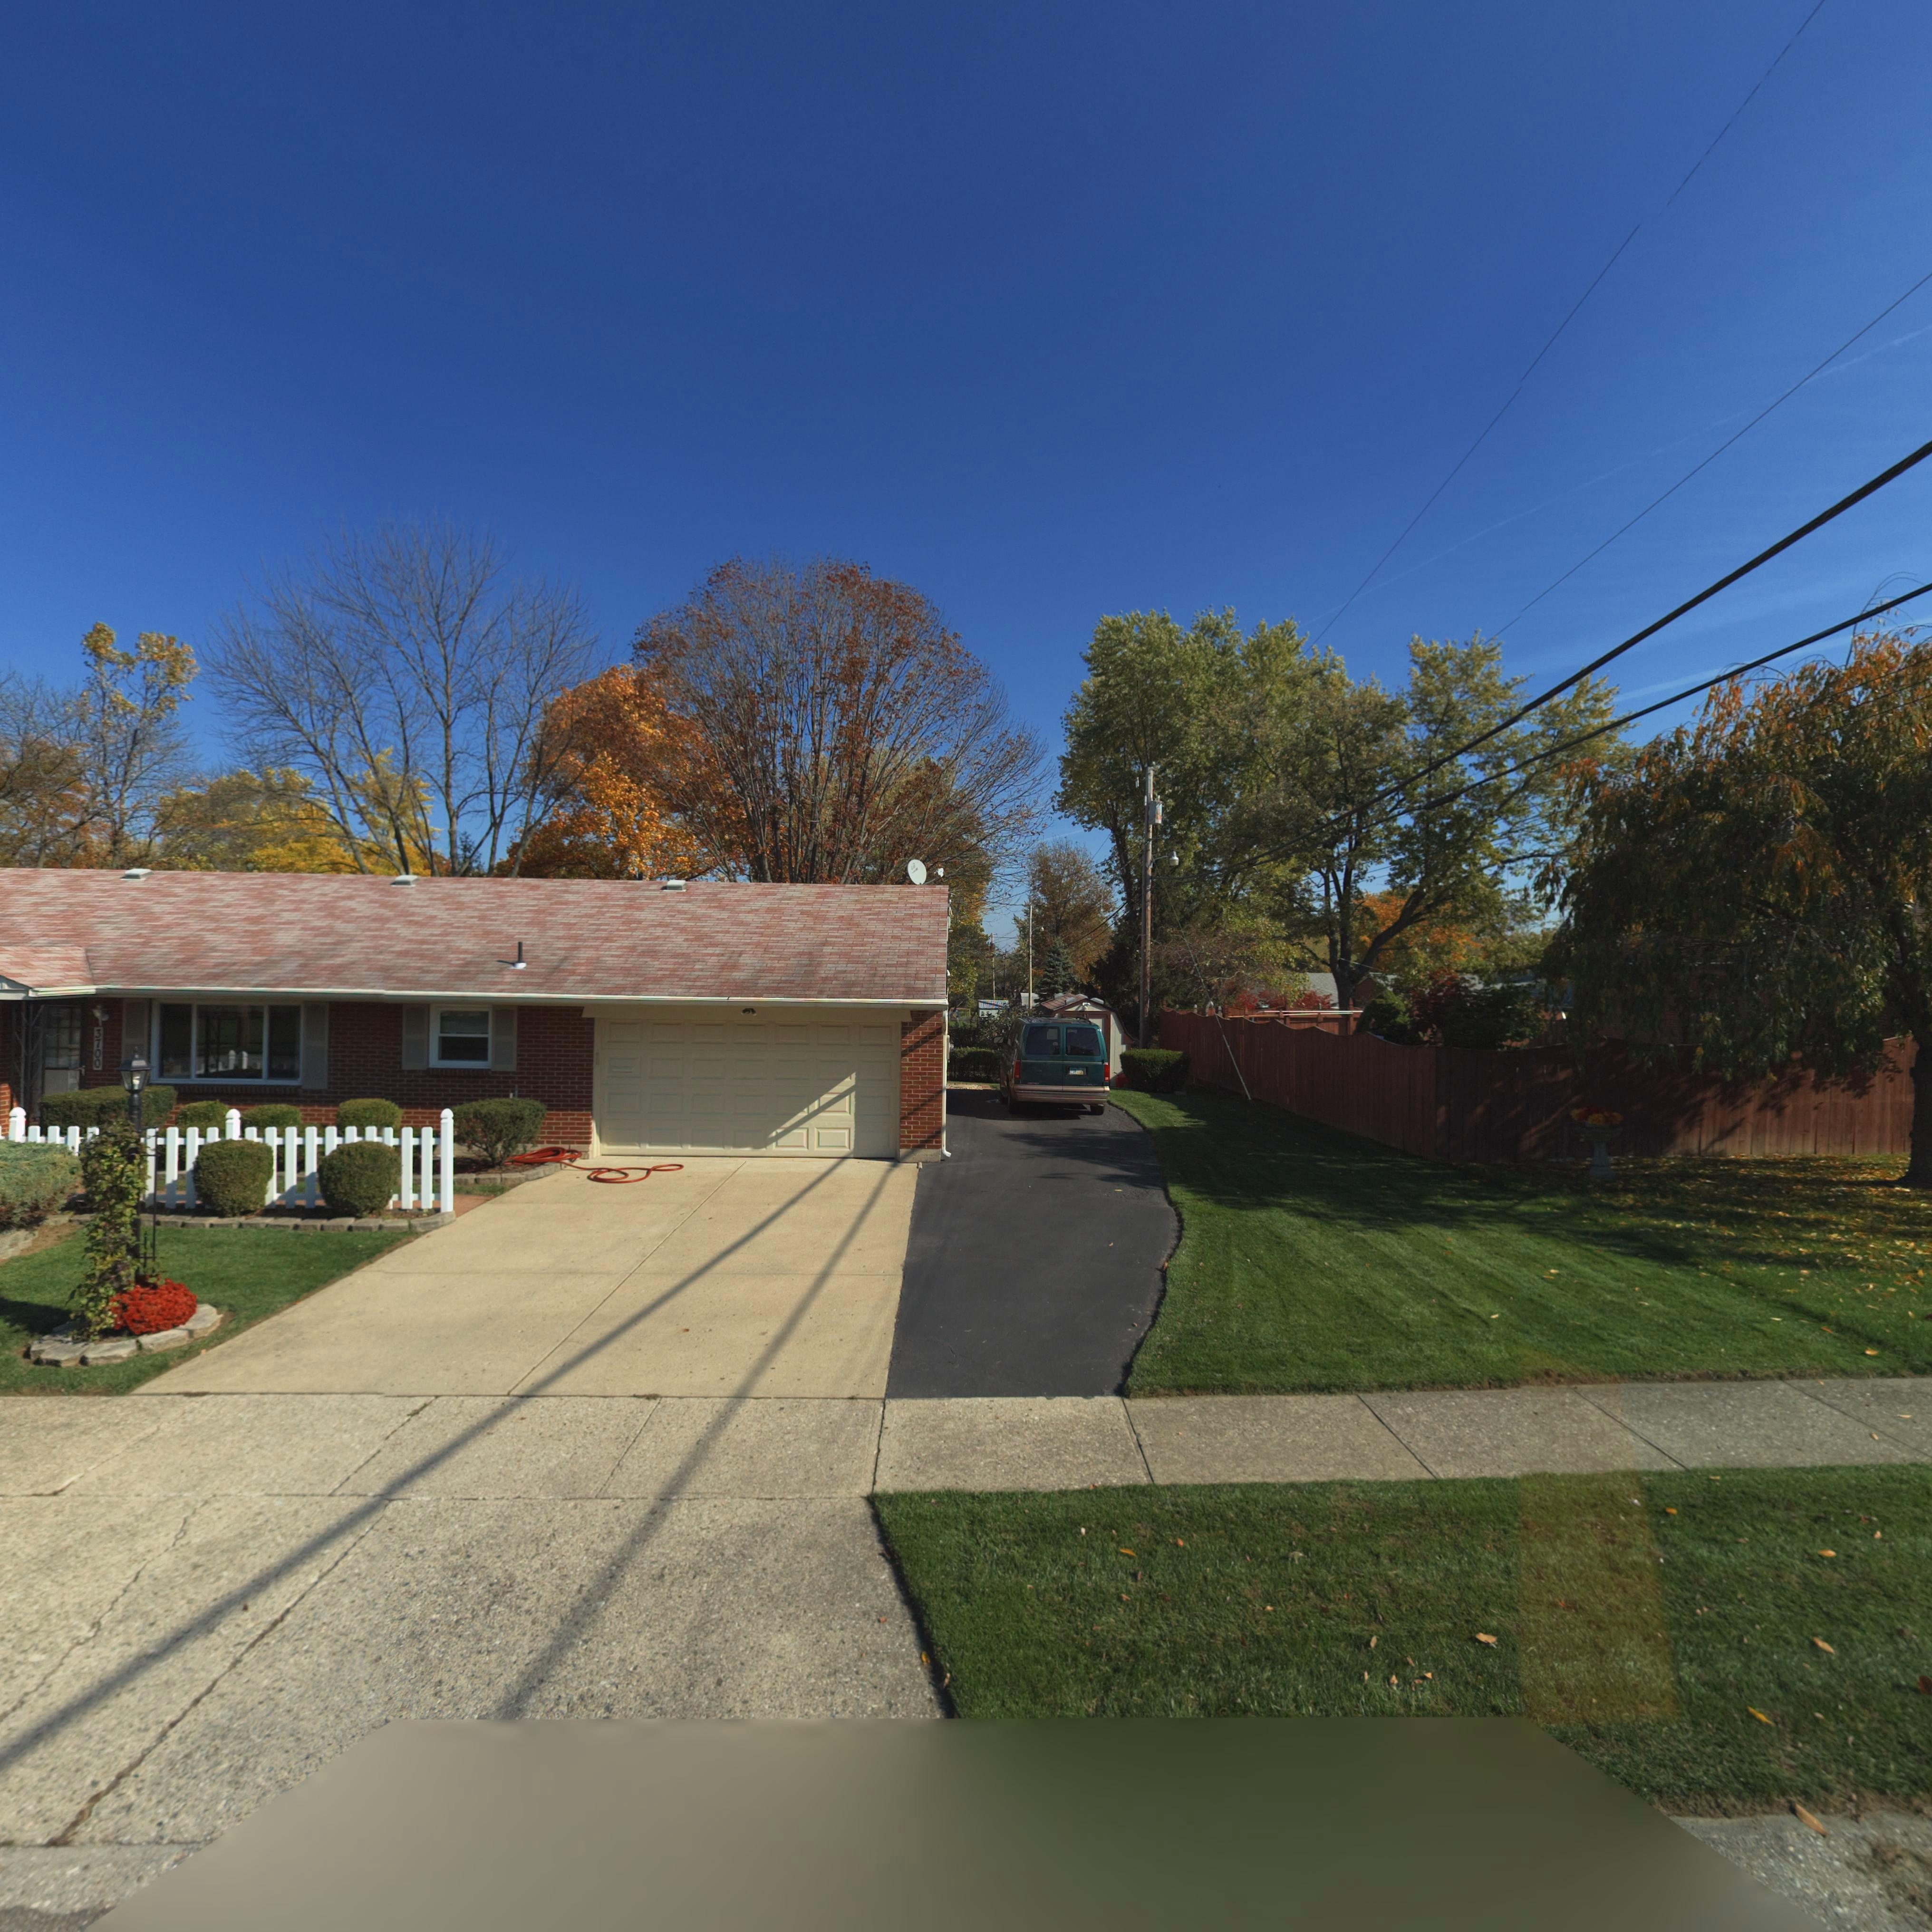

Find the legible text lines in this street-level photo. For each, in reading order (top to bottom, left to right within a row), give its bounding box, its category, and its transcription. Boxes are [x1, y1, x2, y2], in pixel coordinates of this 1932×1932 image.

[94, 1027, 102, 1069] StreetNumber: 3700